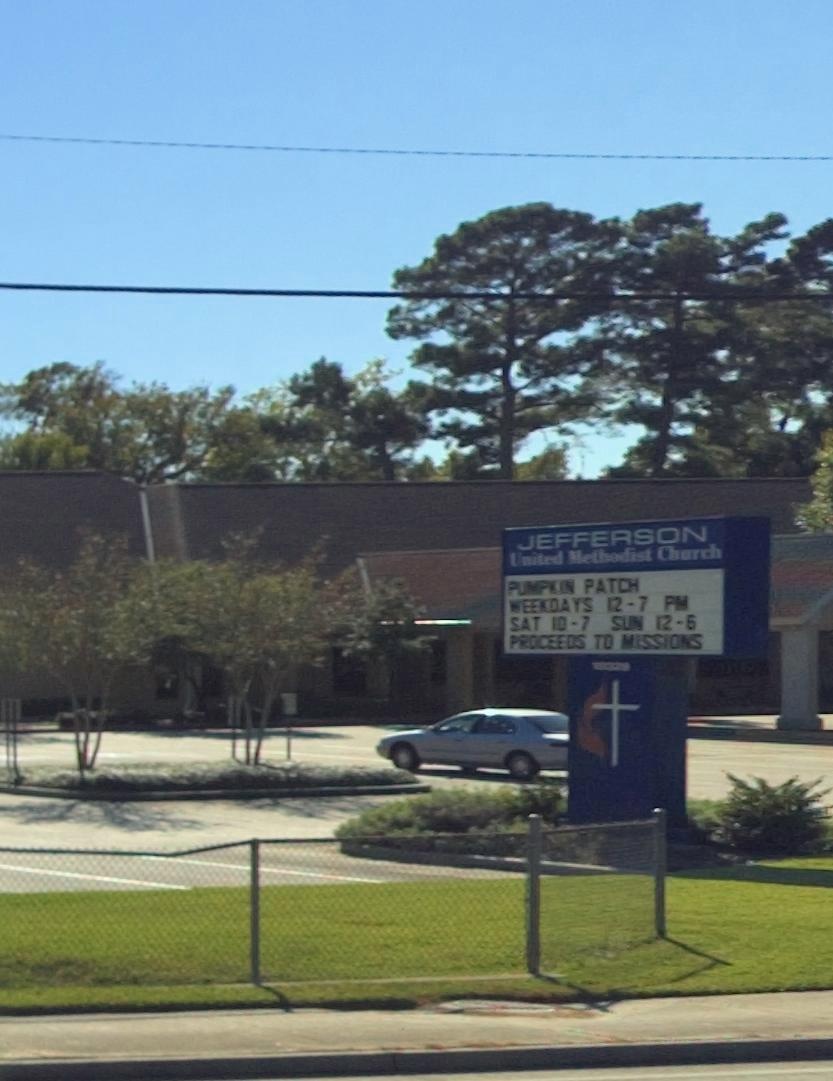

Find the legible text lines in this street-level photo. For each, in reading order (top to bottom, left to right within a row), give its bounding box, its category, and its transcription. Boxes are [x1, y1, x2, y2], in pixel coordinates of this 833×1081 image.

[514, 522, 710, 553] BusinessName: Jefferson United Methodist Church 
[507, 541, 725, 569] None: United Methodist Church
[504, 573, 643, 598] None: PUMPKIN PATCH
[507, 592, 692, 615] None: WEEKDAYS 12-7 PM
[507, 612, 701, 633] None: SAT 10-7 SUN 12-6
[507, 631, 705, 652] None: PROCEEDS TO MISSIONS